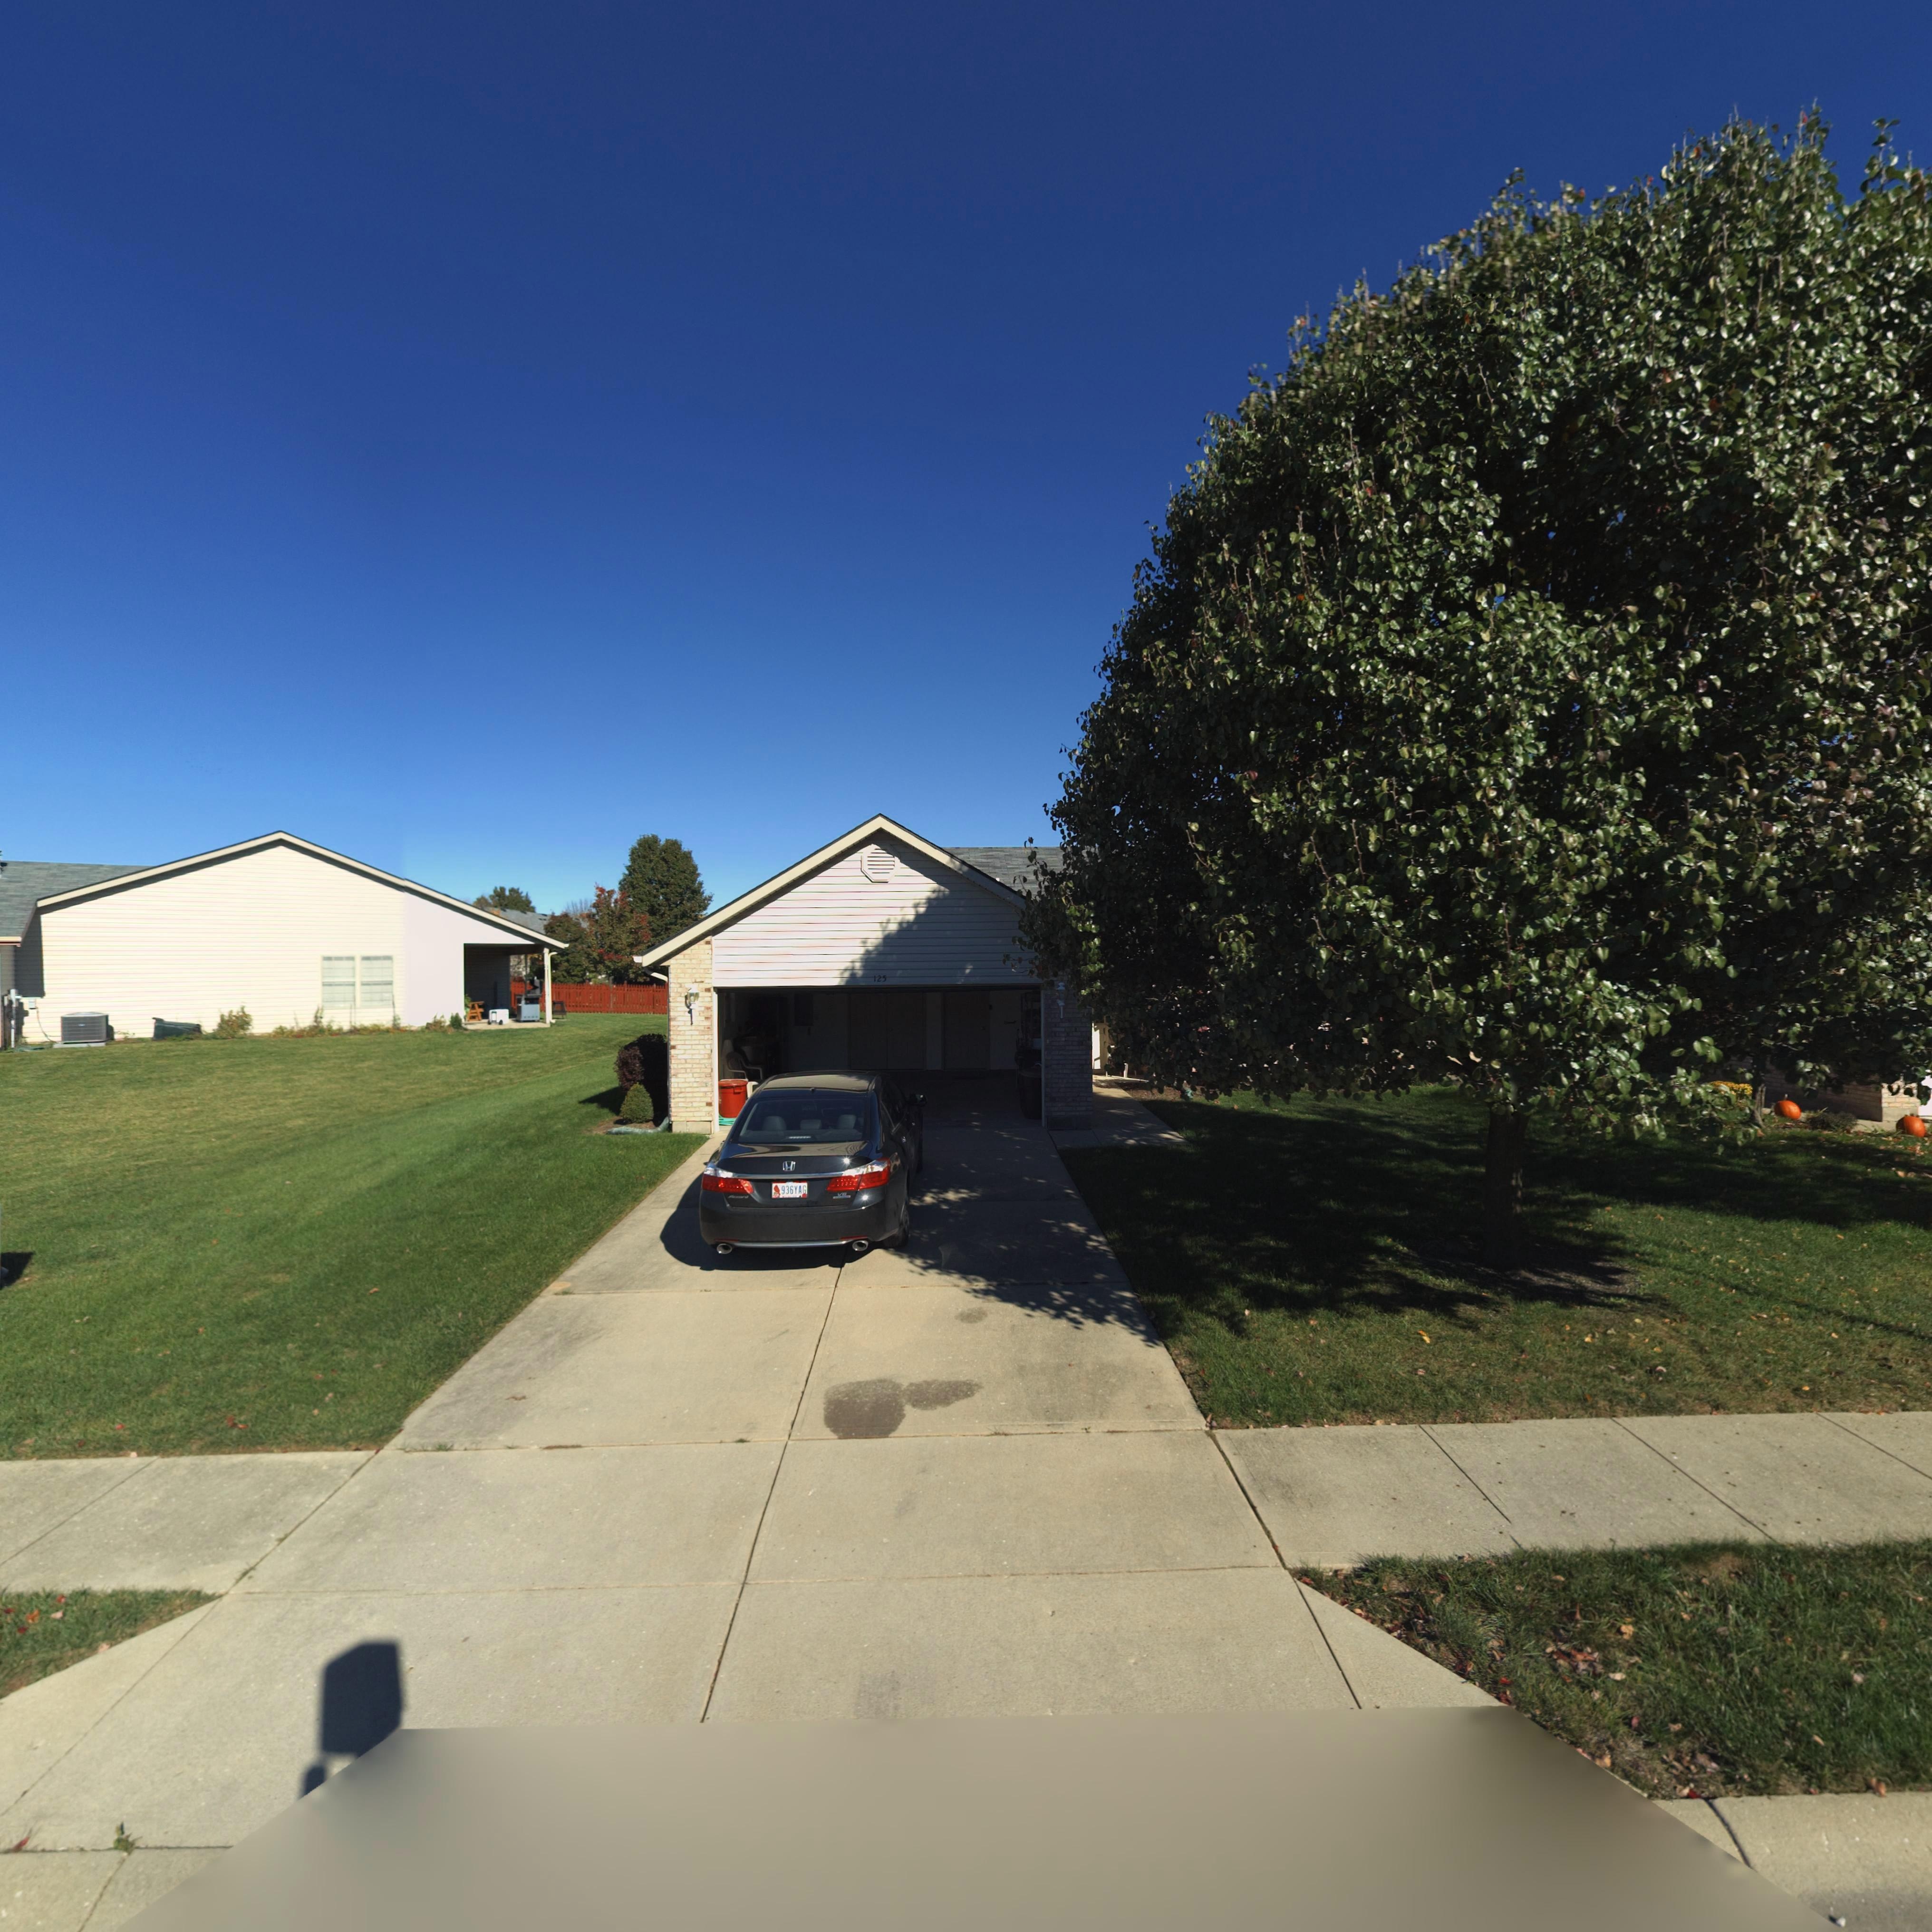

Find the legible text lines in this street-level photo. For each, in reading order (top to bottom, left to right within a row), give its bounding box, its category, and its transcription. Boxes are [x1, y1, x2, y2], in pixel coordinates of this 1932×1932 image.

[873, 975, 887, 982] StreetNumber: 125
[779, 1184, 807, 1195] None: 936YAG